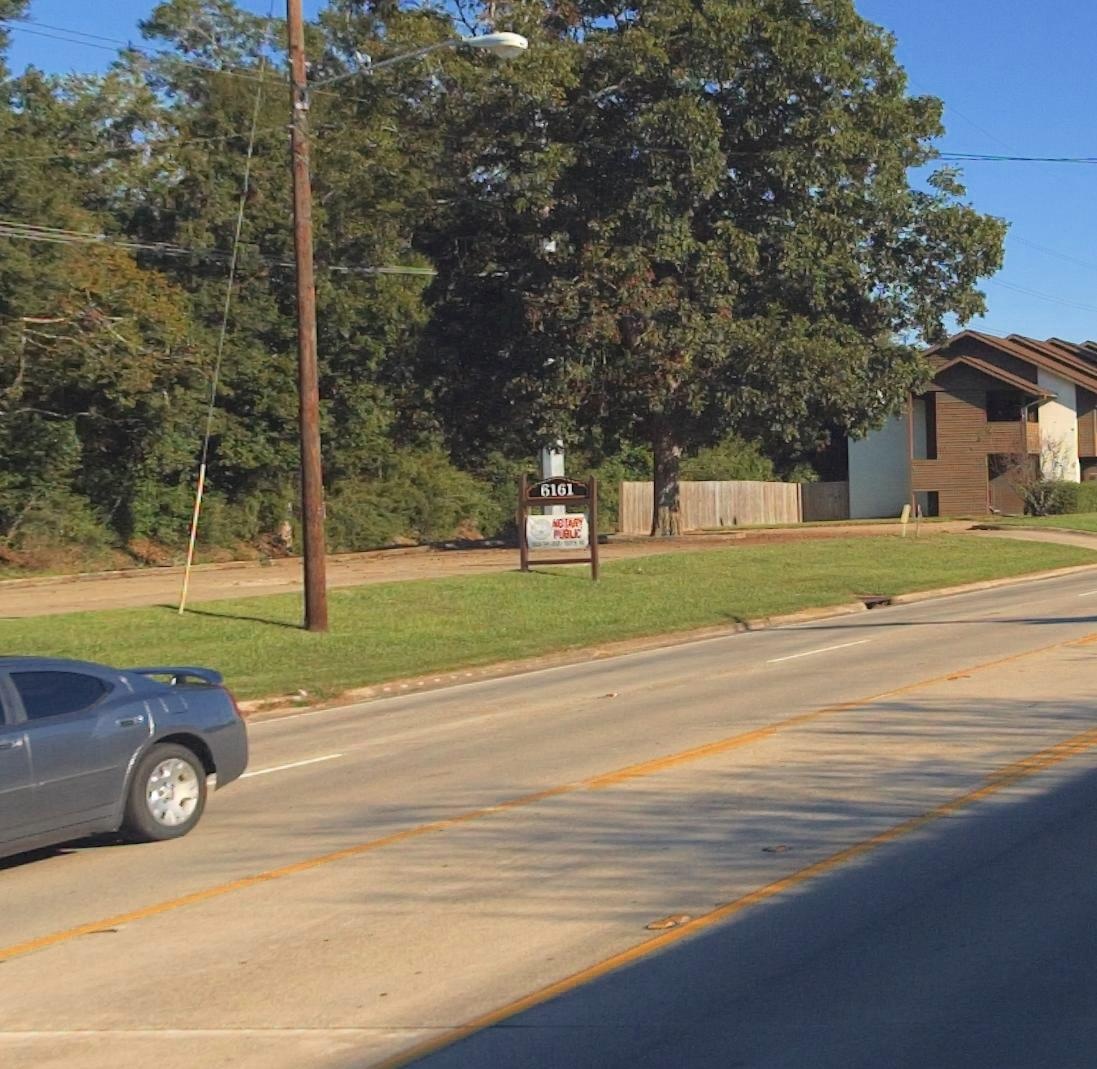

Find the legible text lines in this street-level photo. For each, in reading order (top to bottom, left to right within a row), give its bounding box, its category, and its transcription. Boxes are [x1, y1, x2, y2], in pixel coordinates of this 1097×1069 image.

[539, 481, 575, 497] StreetNumber: 6161
[551, 516, 585, 529] None: NOTARY
[552, 528, 583, 540] None: PUBLIC